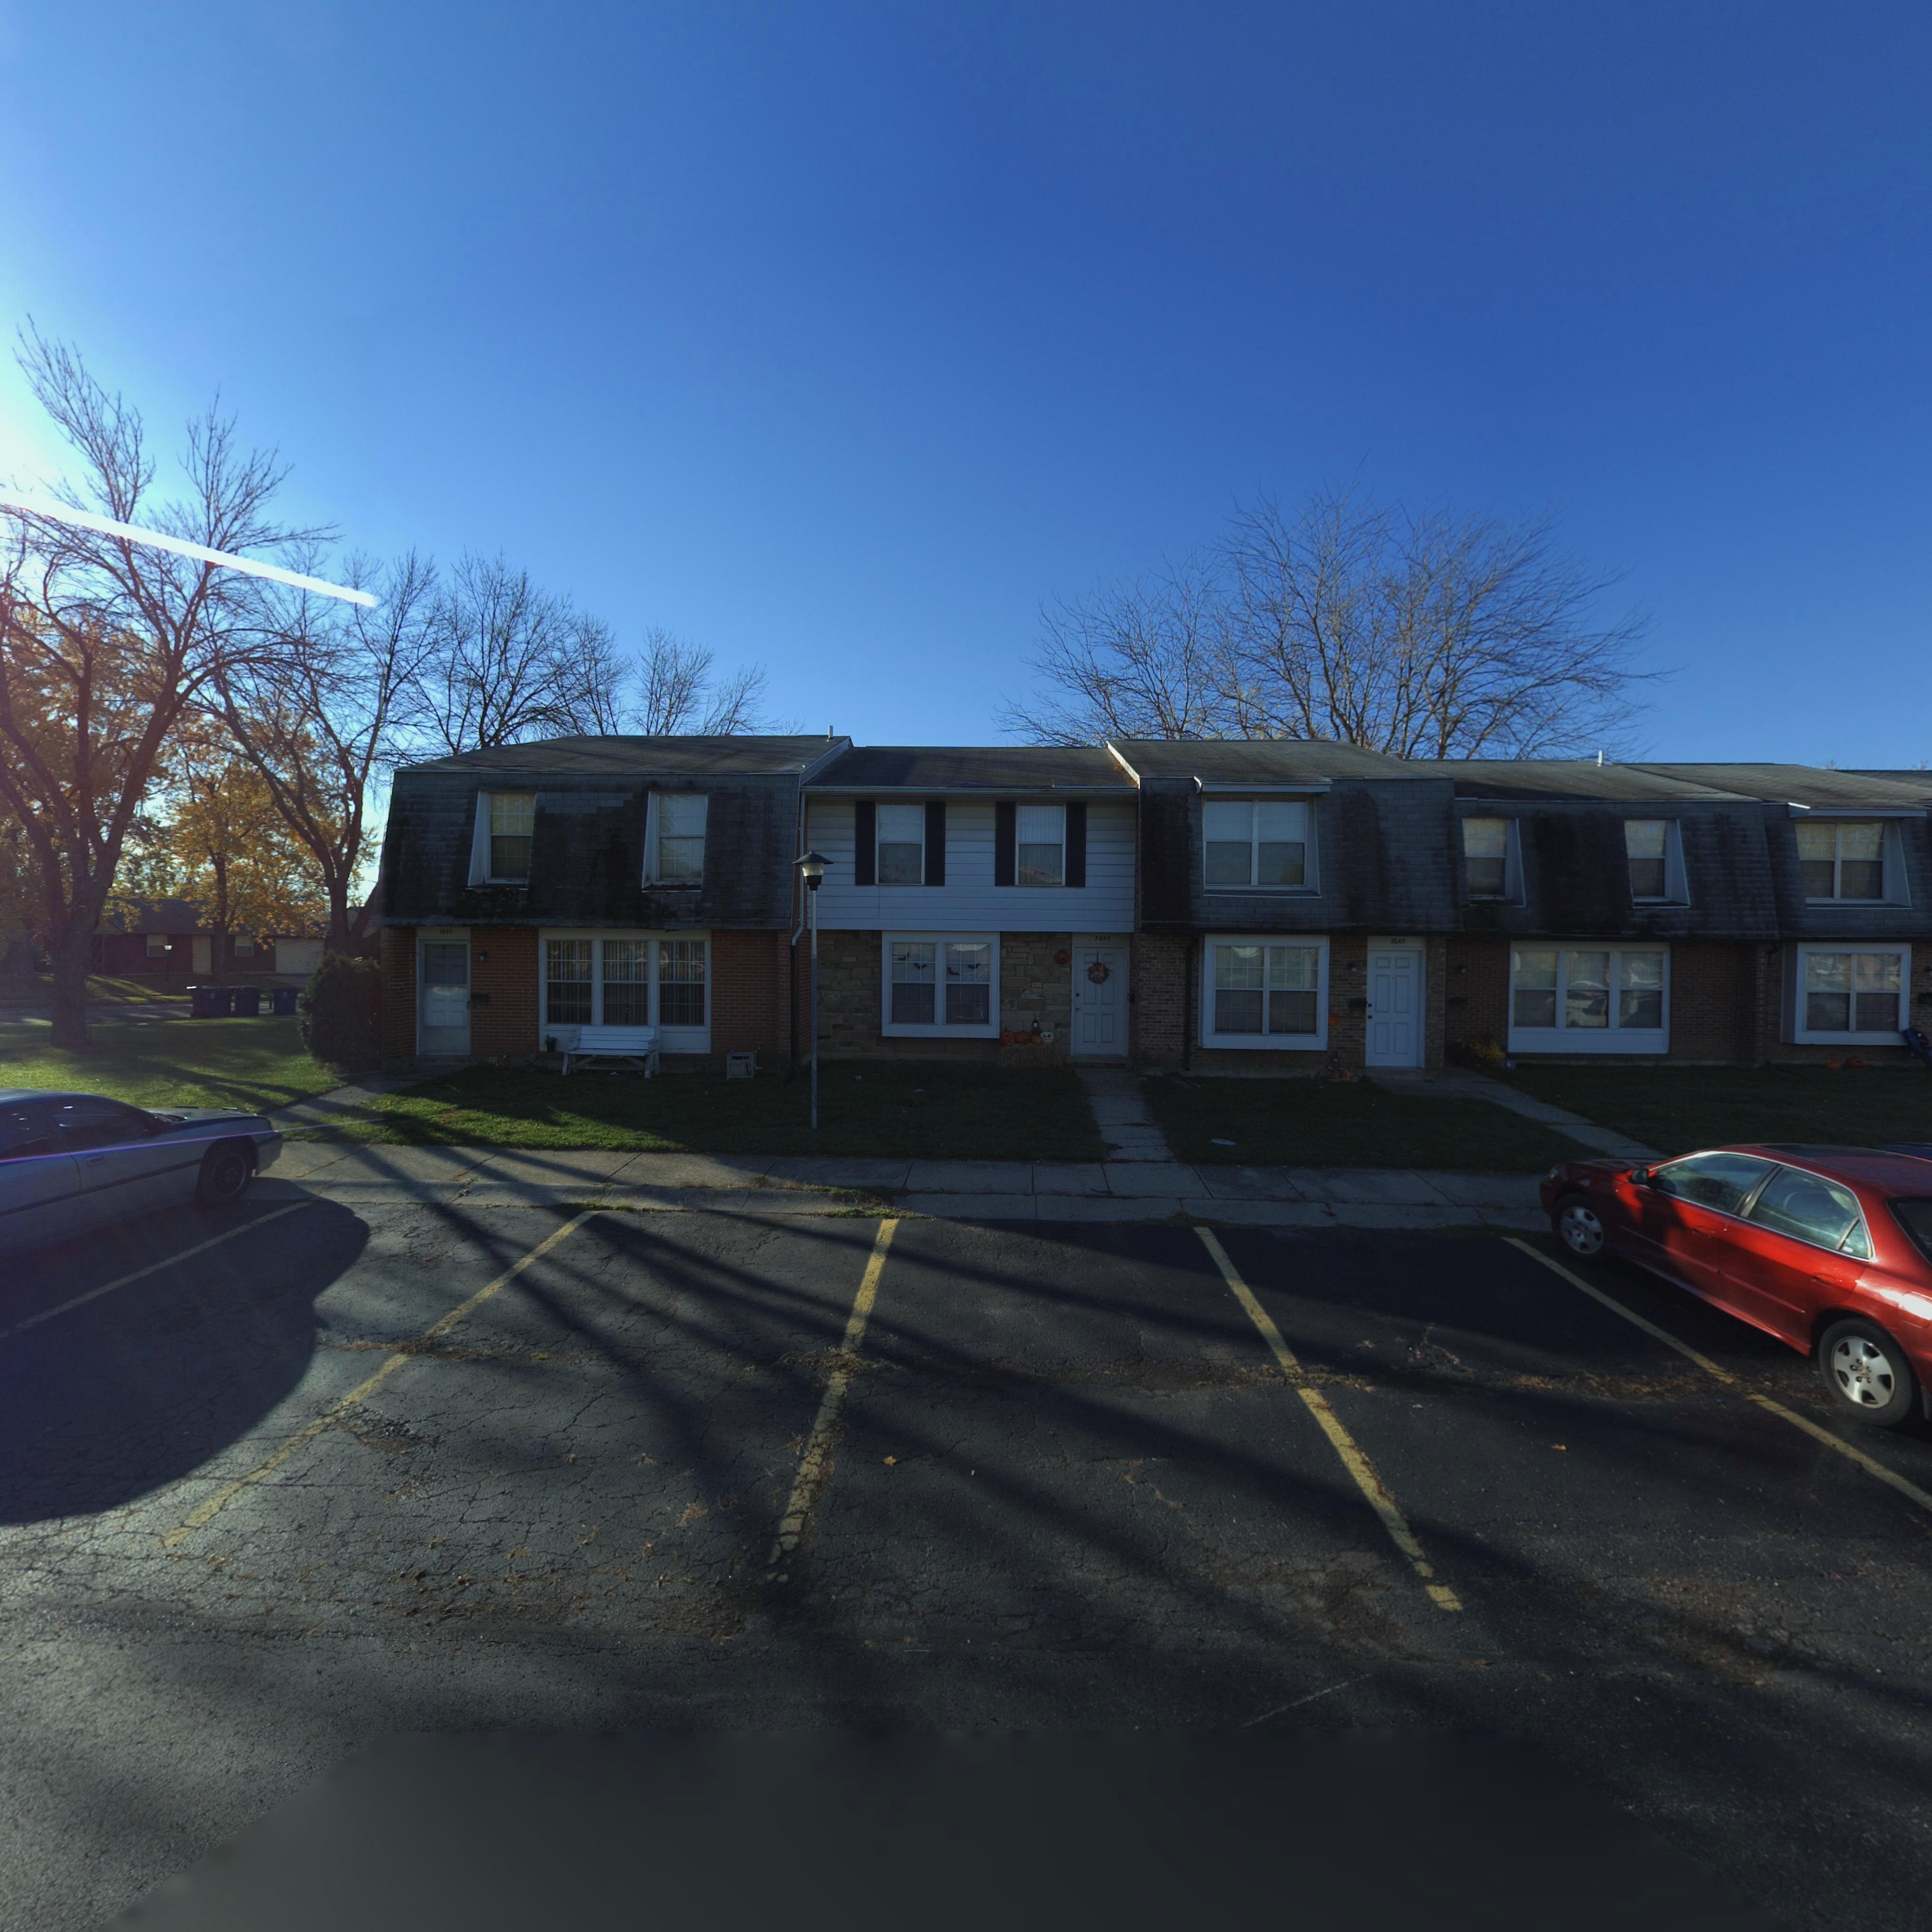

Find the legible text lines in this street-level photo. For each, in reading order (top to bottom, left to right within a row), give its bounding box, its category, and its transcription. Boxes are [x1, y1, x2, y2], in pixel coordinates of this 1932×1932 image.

[438, 928, 453, 936] StreetNumber: 7641
[1094, 936, 1111, 941] StreetNumber: 7643
[1390, 938, 1407, 945] StreetNumber: 7645